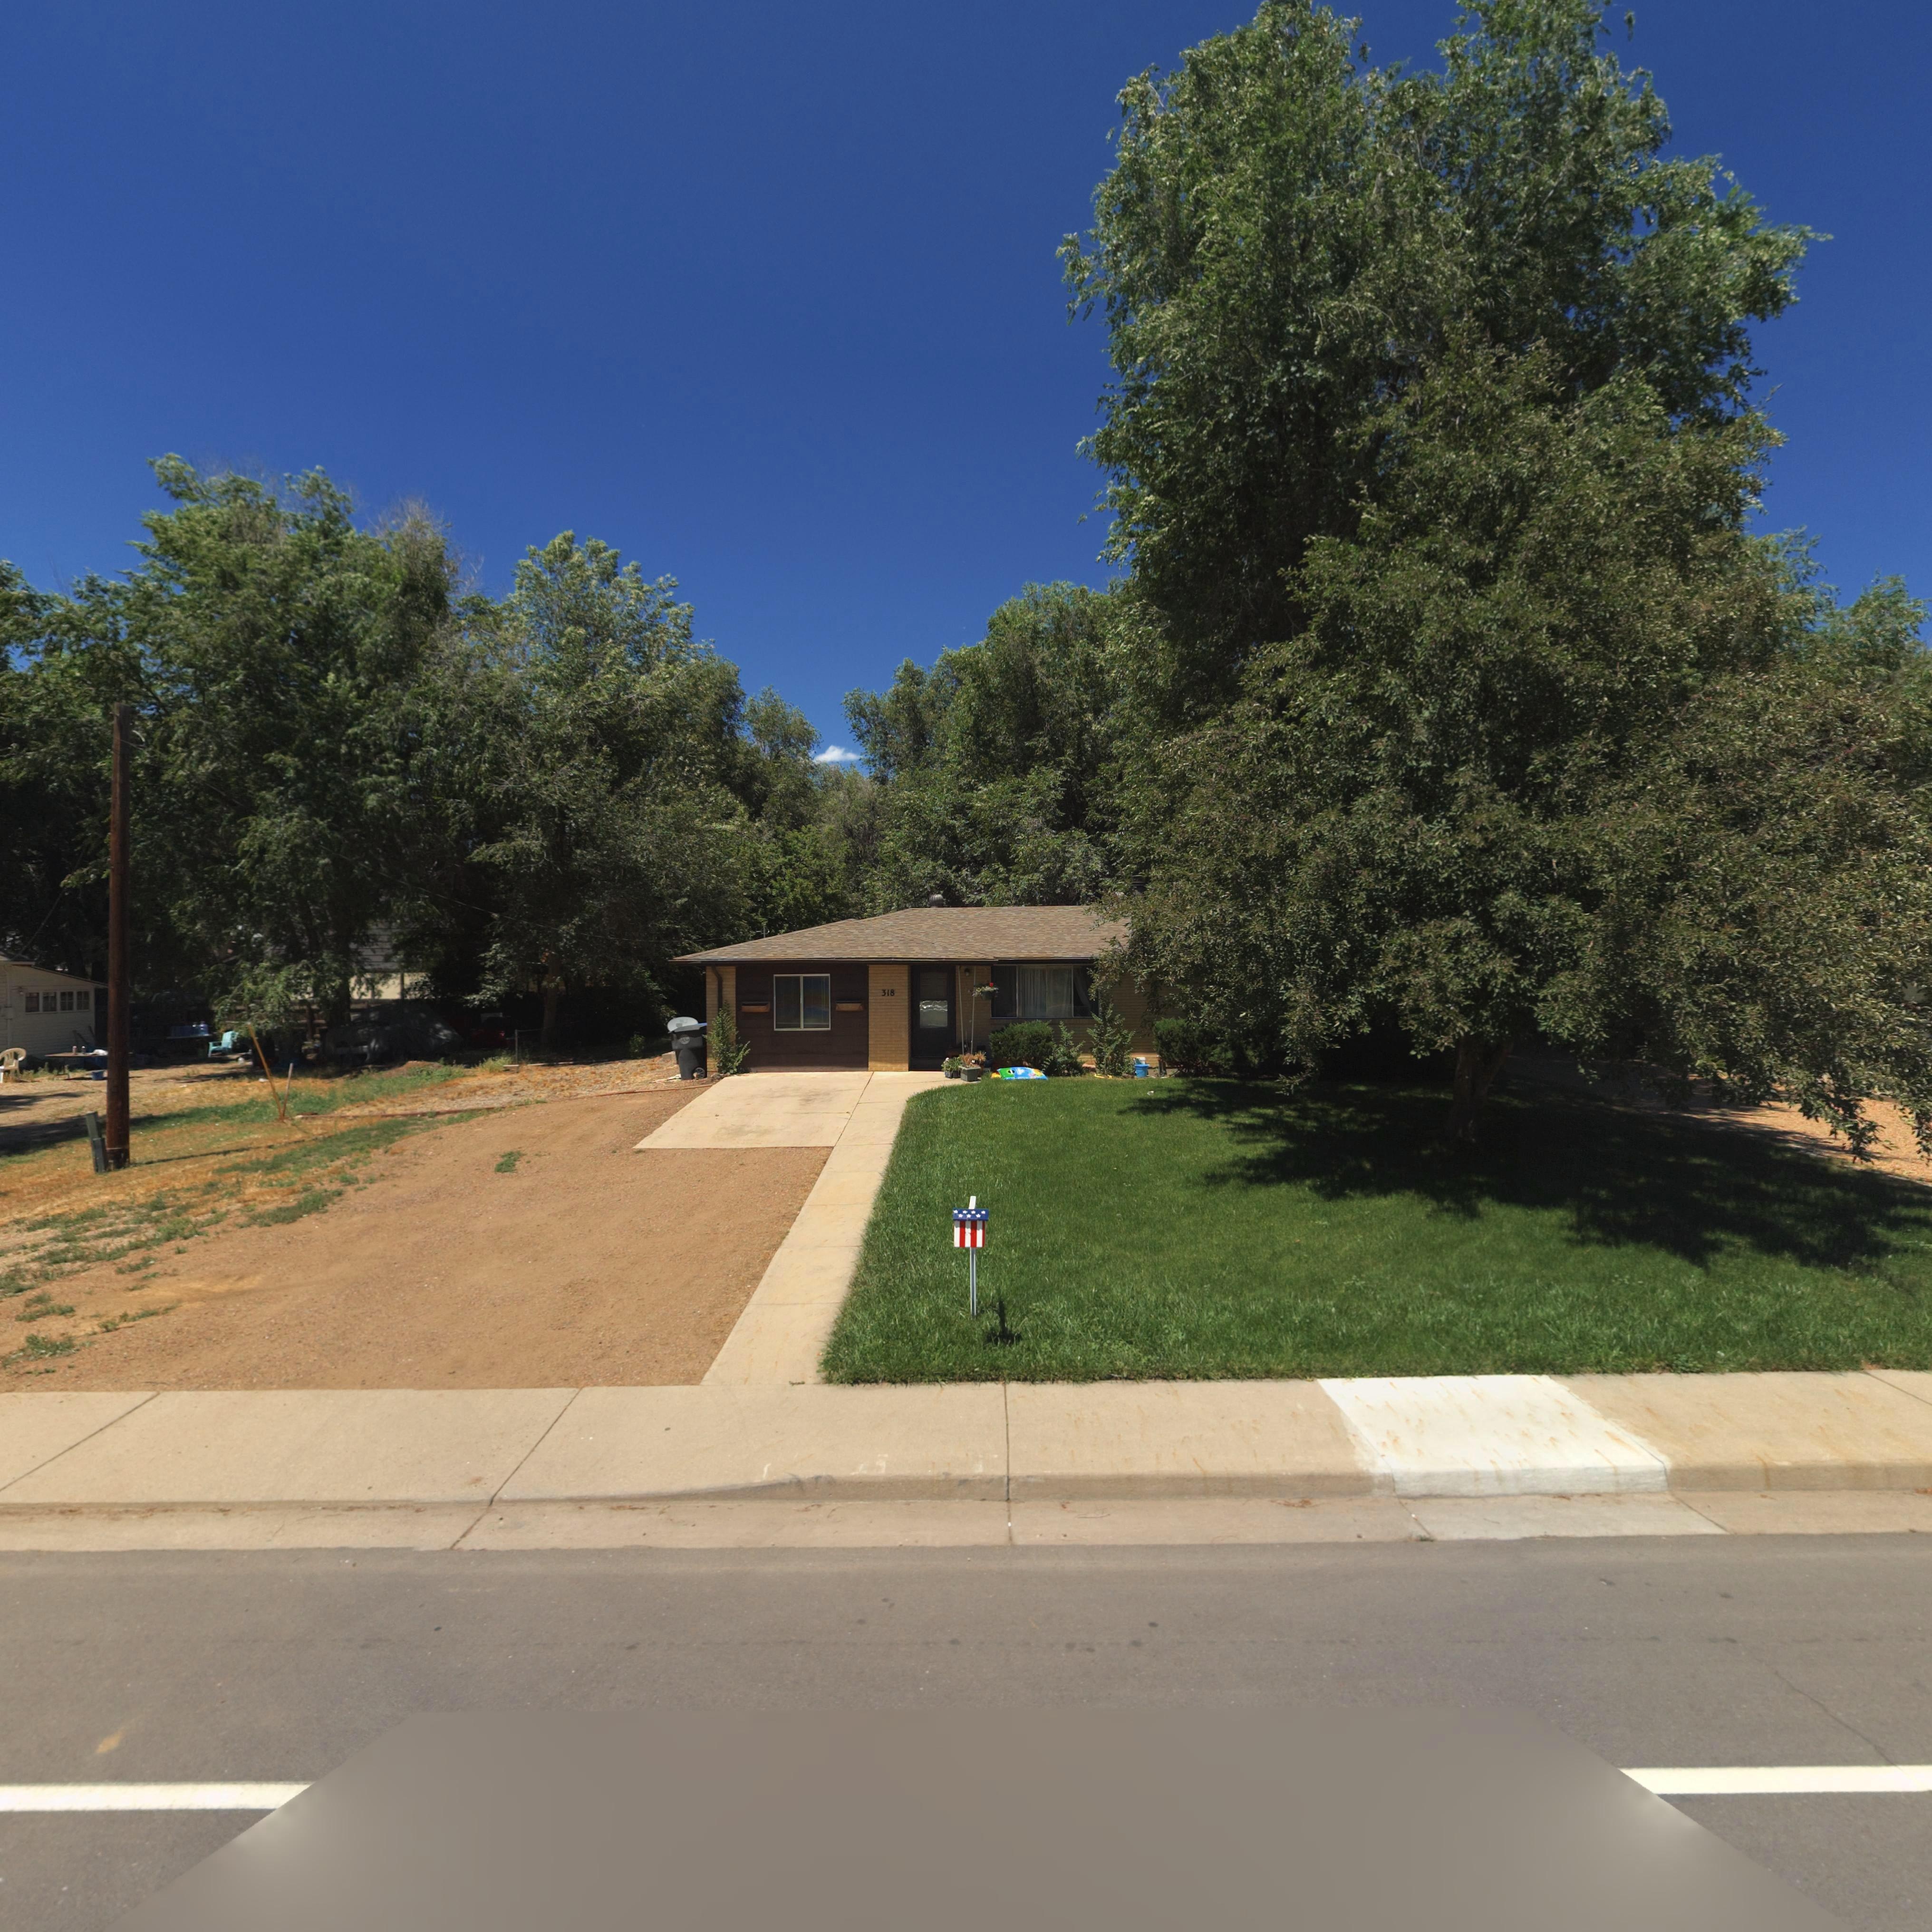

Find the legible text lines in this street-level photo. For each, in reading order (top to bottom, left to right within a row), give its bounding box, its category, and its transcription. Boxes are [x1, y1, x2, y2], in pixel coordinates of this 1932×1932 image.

[881, 989, 894, 996] StreetNumber: 318